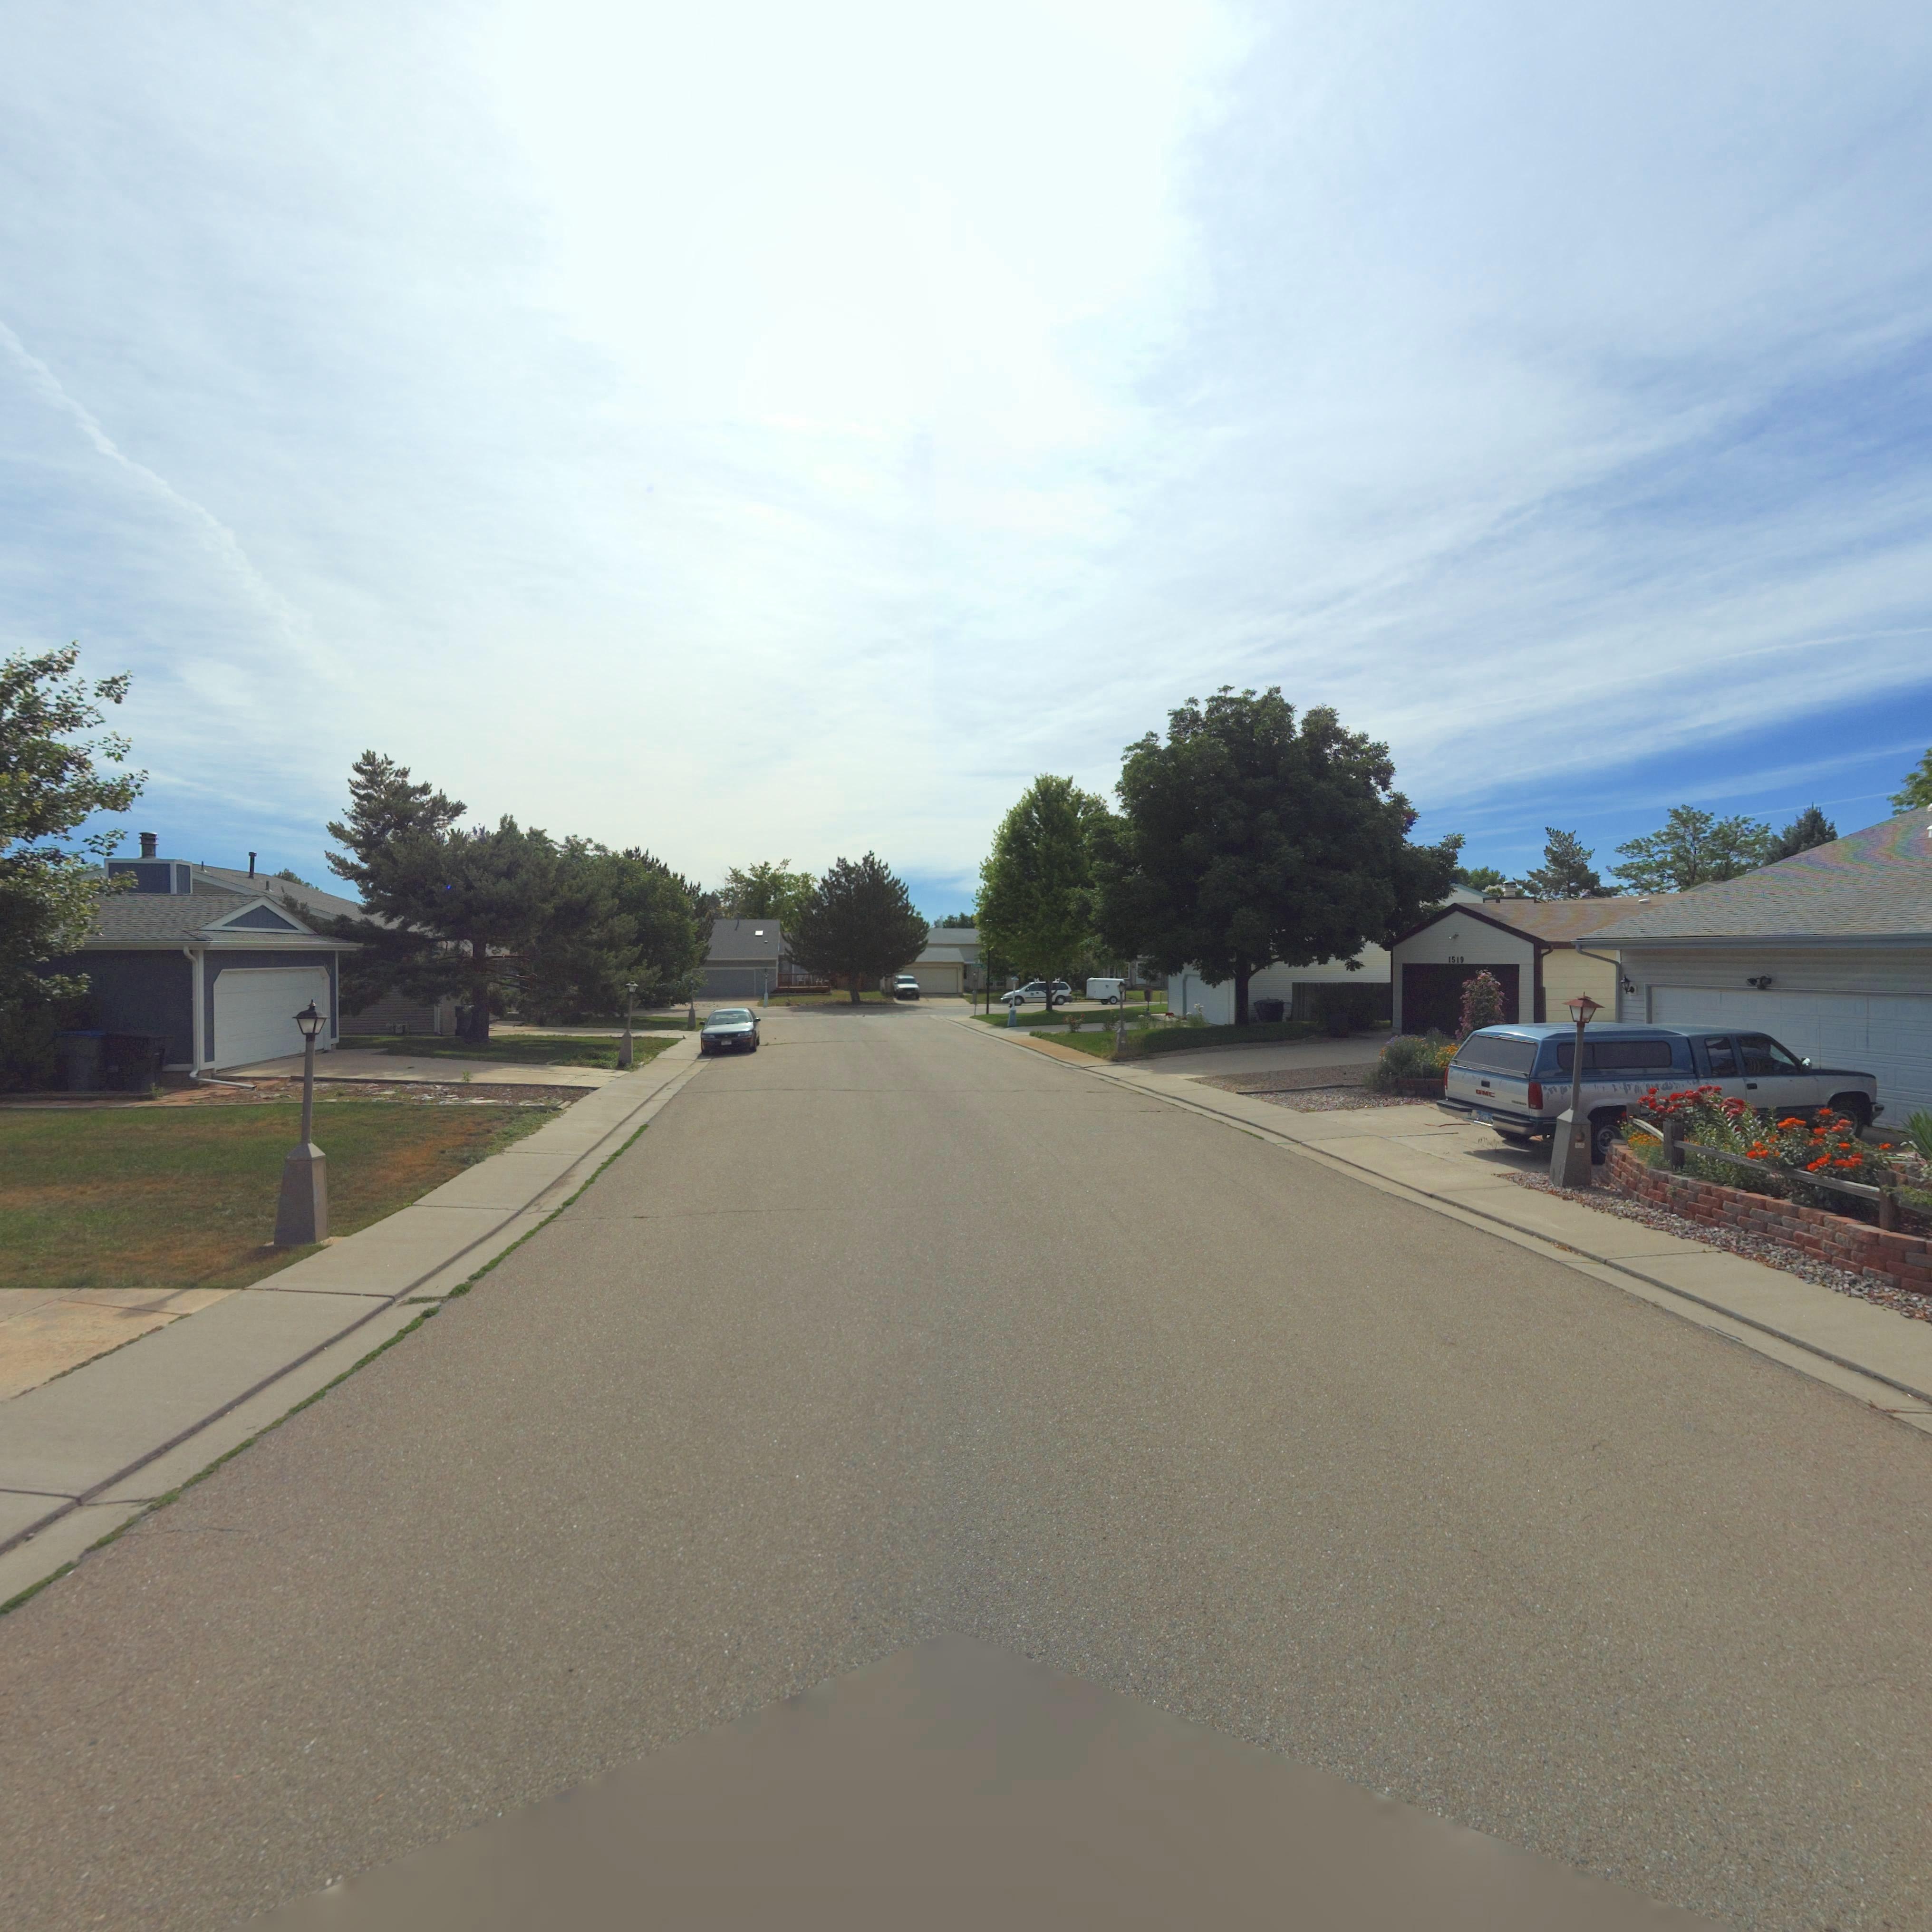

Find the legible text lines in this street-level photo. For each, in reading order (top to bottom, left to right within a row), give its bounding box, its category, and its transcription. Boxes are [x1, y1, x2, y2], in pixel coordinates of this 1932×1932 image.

[1449, 956, 1463, 963] StreetNumber: 1519